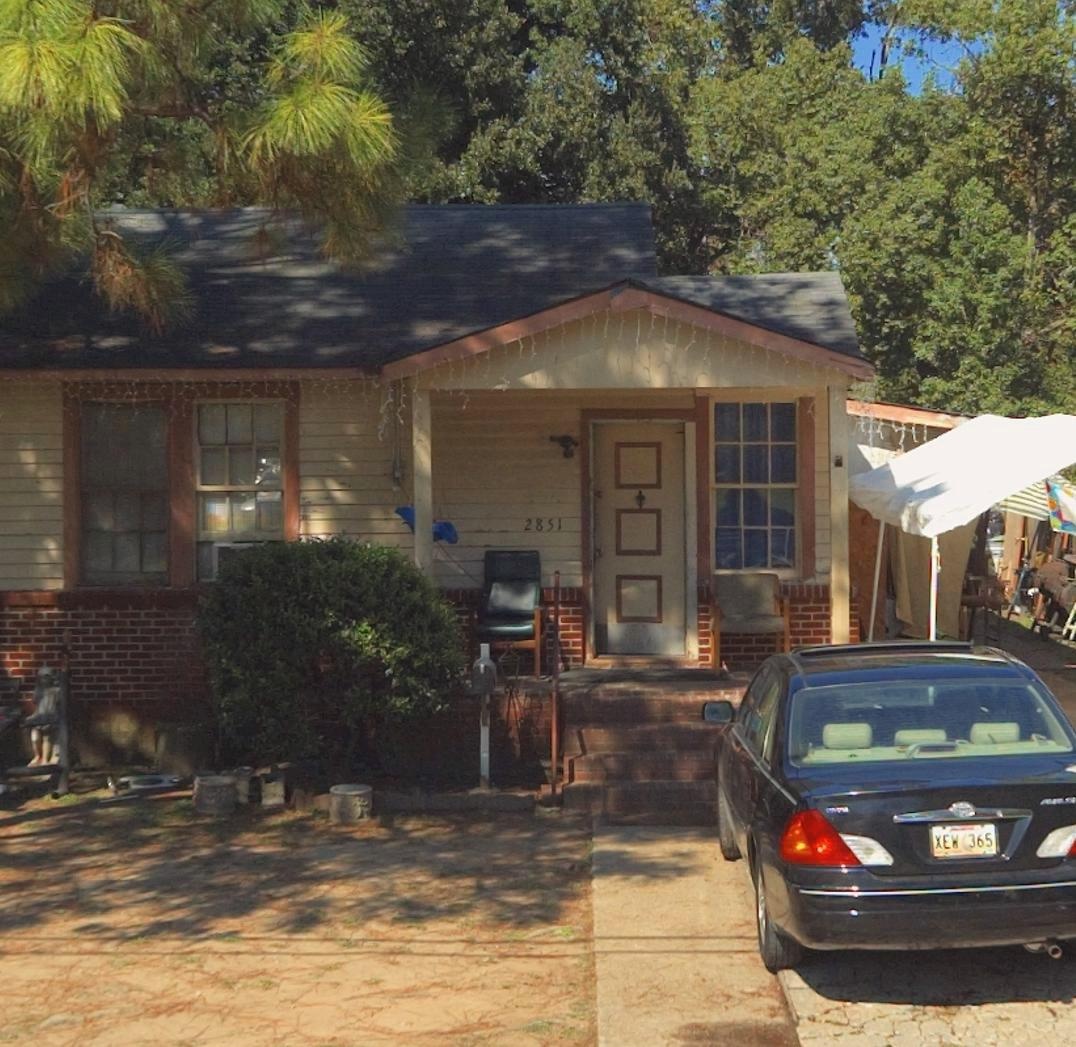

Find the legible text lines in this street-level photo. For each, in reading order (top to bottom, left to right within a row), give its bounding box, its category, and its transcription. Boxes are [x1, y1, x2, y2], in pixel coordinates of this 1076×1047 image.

[523, 517, 563, 532] StreetNumber: 2851
[934, 831, 994, 850] None: XEW 365